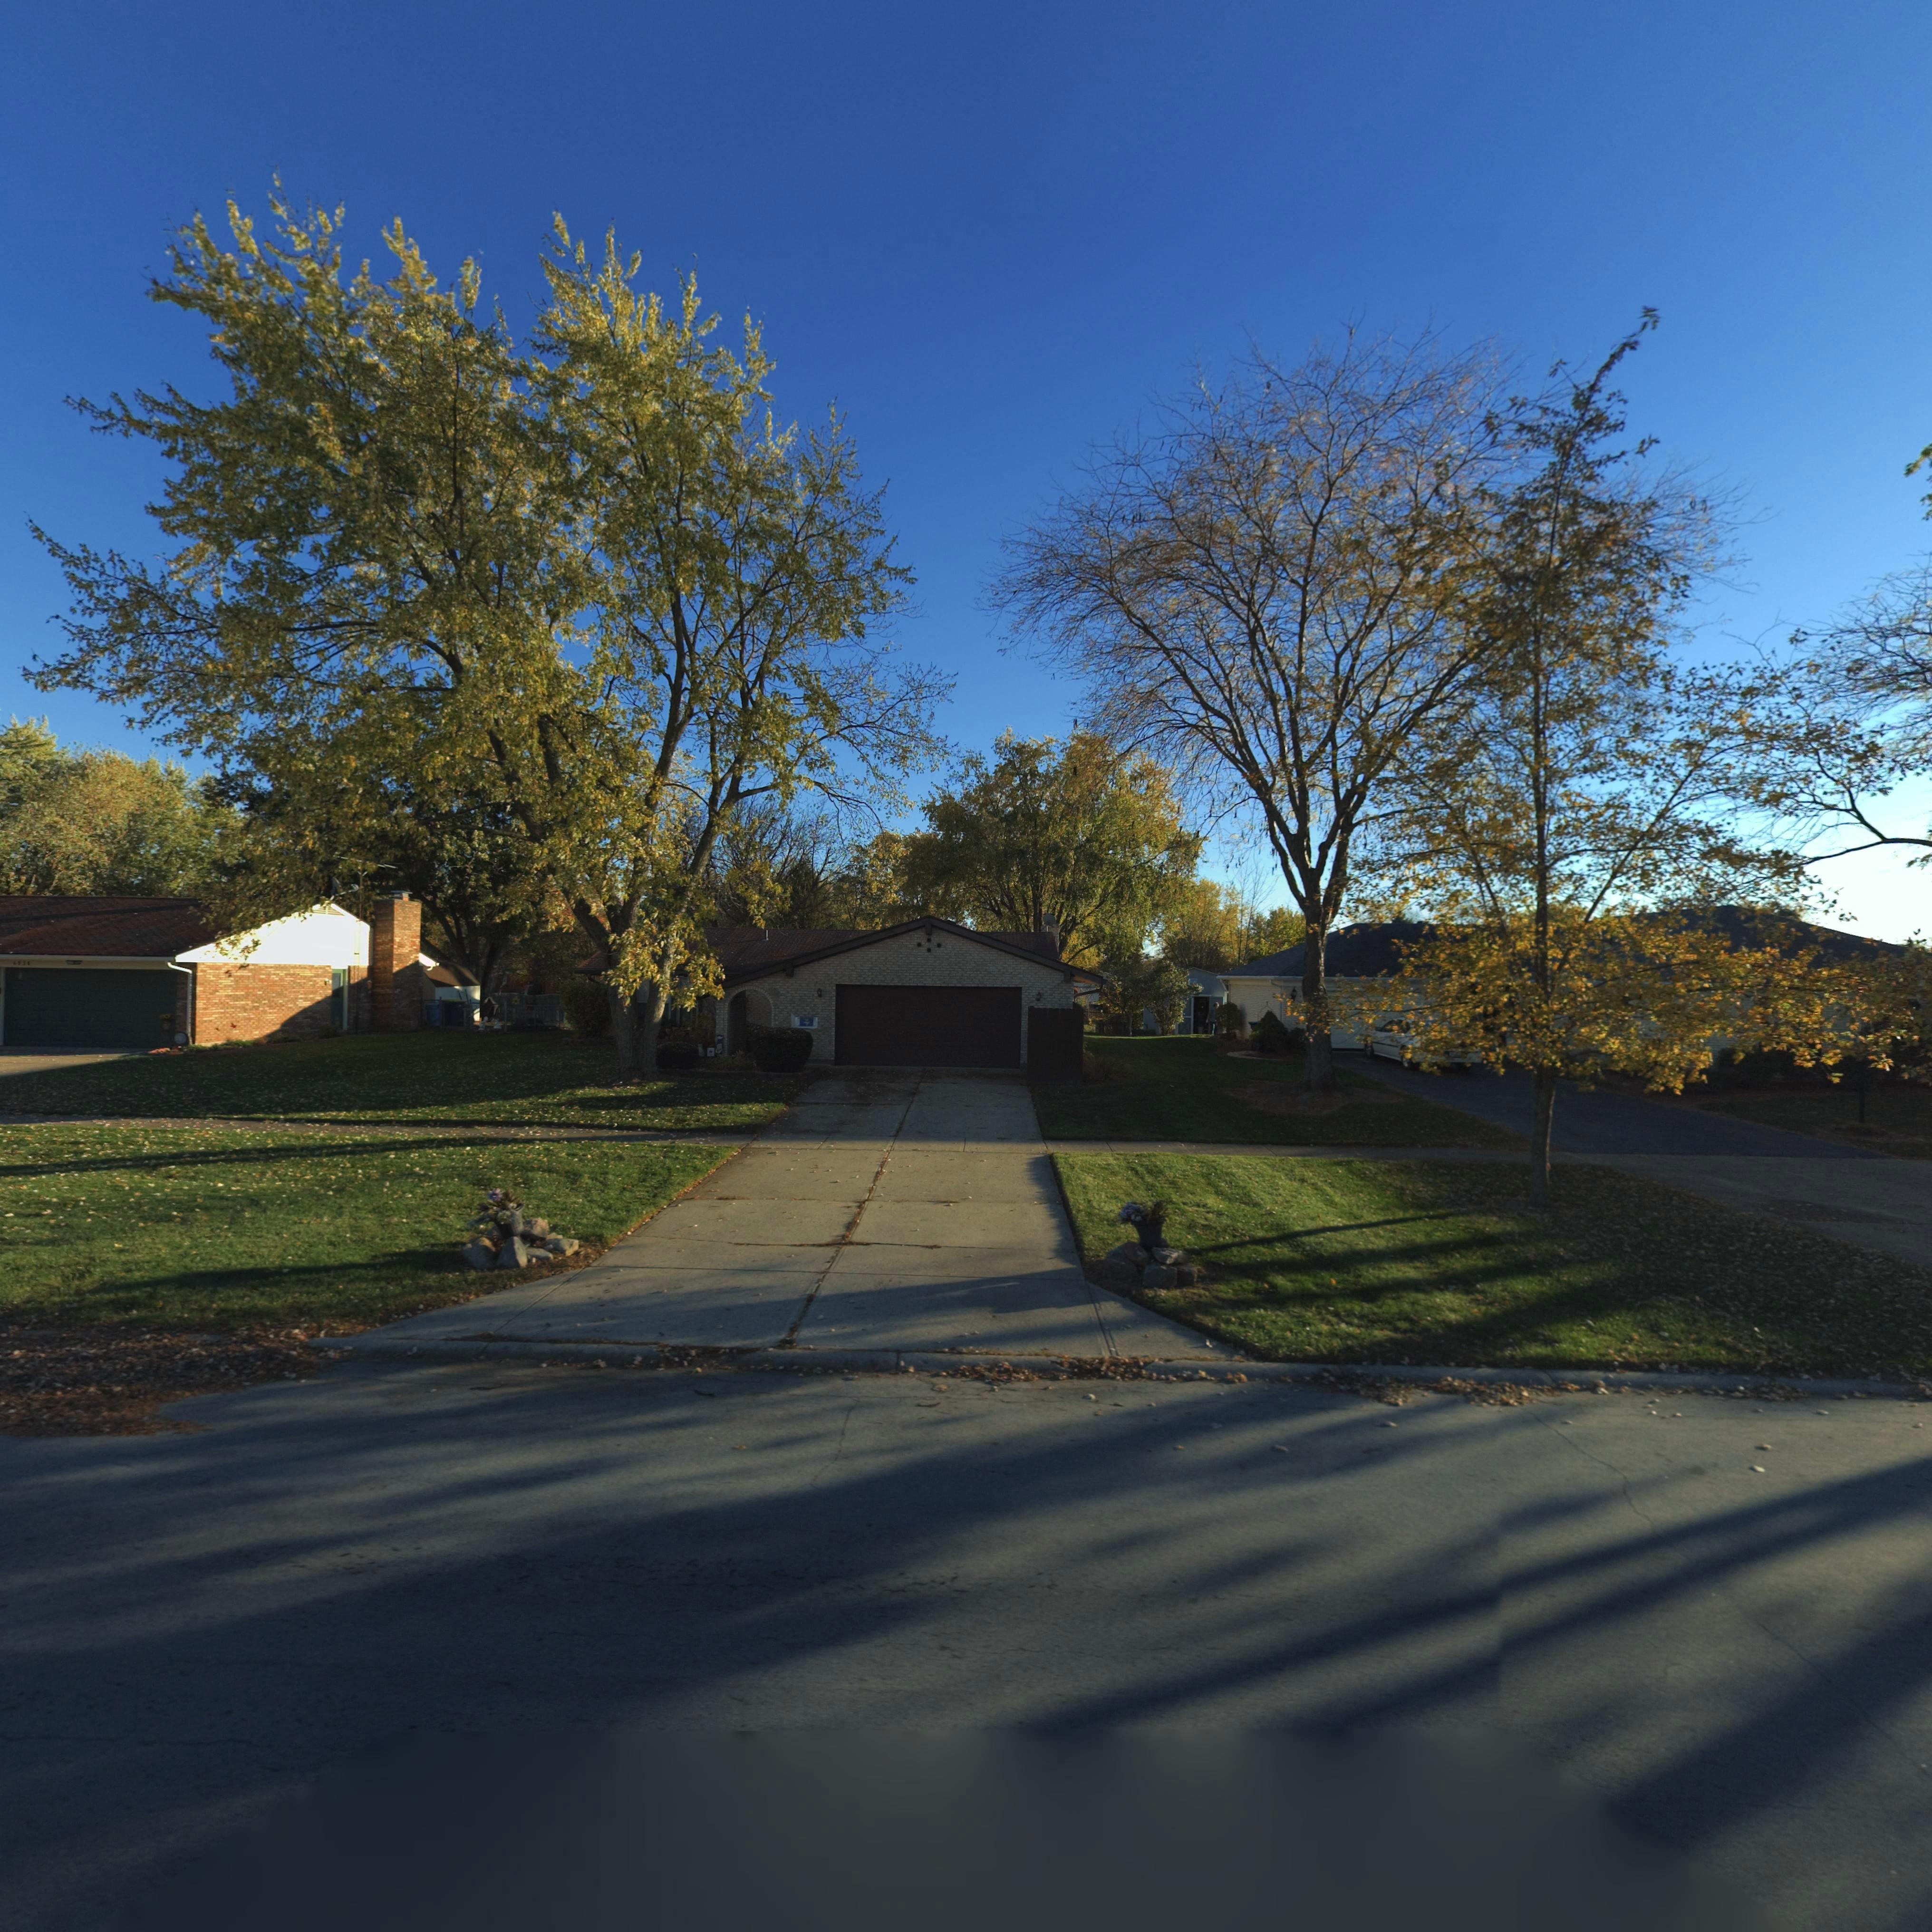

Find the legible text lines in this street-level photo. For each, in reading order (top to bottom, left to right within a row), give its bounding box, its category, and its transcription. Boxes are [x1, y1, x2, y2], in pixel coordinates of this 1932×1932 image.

[12, 960, 30, 966] StreetNumber: 493*